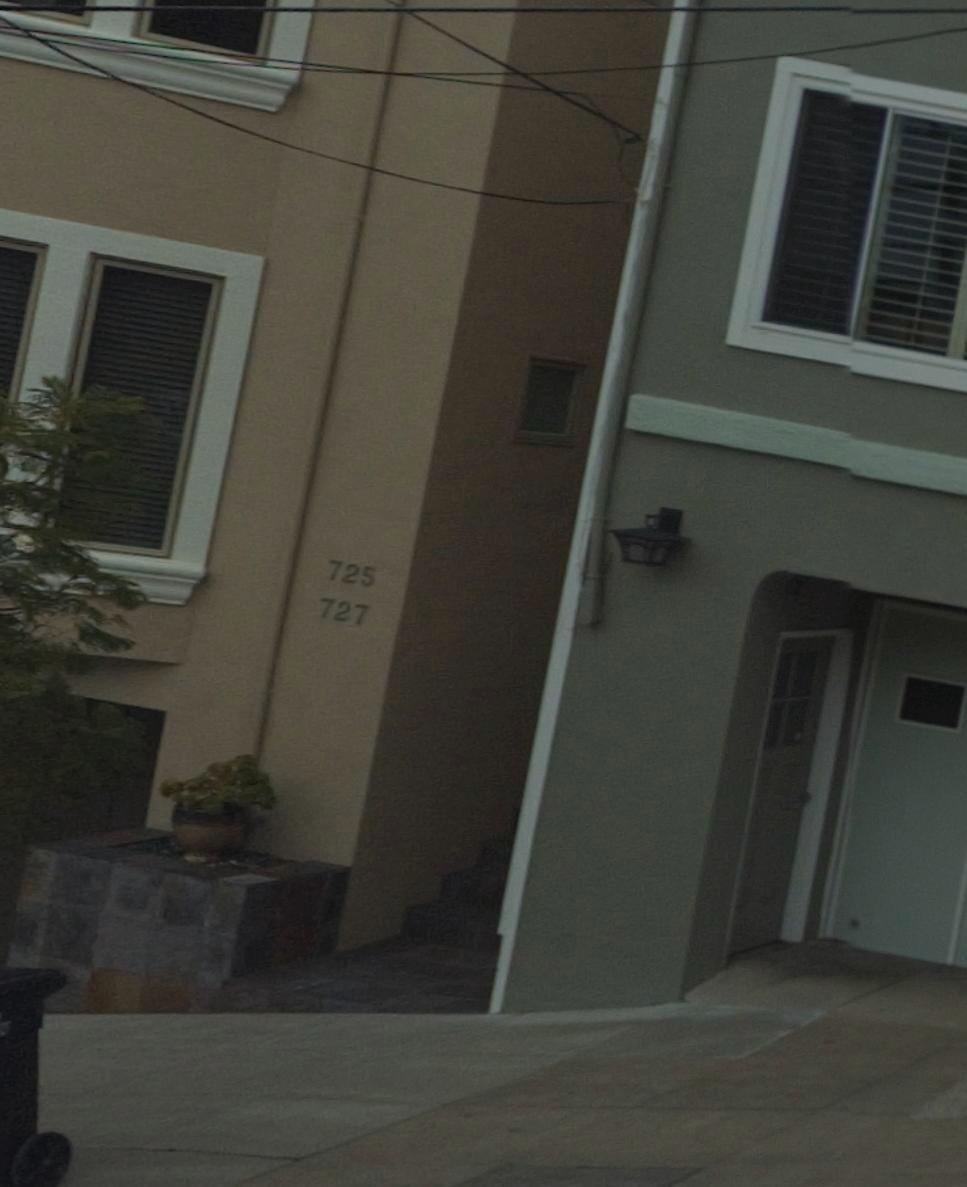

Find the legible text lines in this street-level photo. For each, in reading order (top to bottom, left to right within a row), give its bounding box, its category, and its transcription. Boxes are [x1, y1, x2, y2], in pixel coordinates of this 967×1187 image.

[326, 558, 381, 589] StreetNumber: 725
[318, 595, 373, 627] StreetNumber: 727